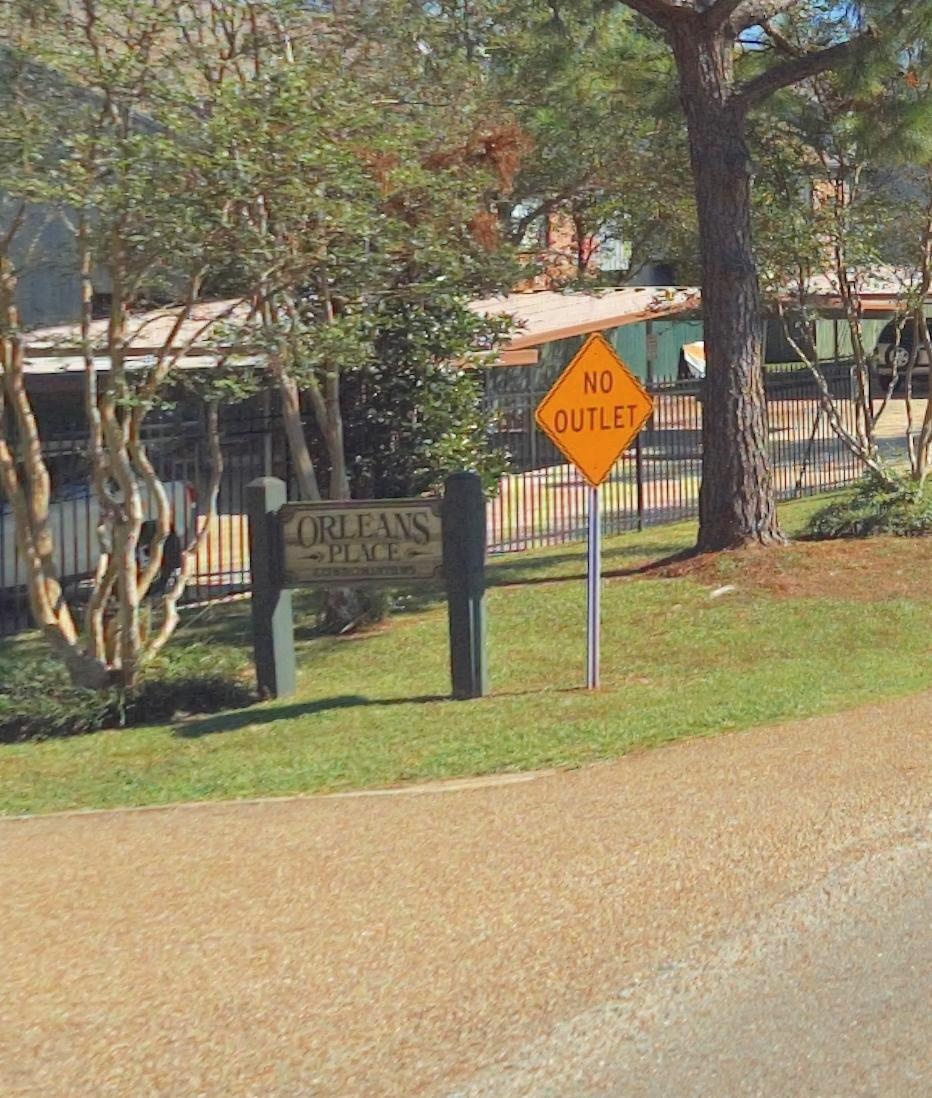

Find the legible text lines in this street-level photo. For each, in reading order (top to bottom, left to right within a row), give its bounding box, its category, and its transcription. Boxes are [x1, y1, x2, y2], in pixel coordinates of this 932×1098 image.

[583, 370, 615, 396] None: NO
[552, 403, 639, 434] None: OUTLET
[296, 510, 430, 548] BusinessName: ORLEANS
[327, 541, 404, 564] BusinessName: PLACE